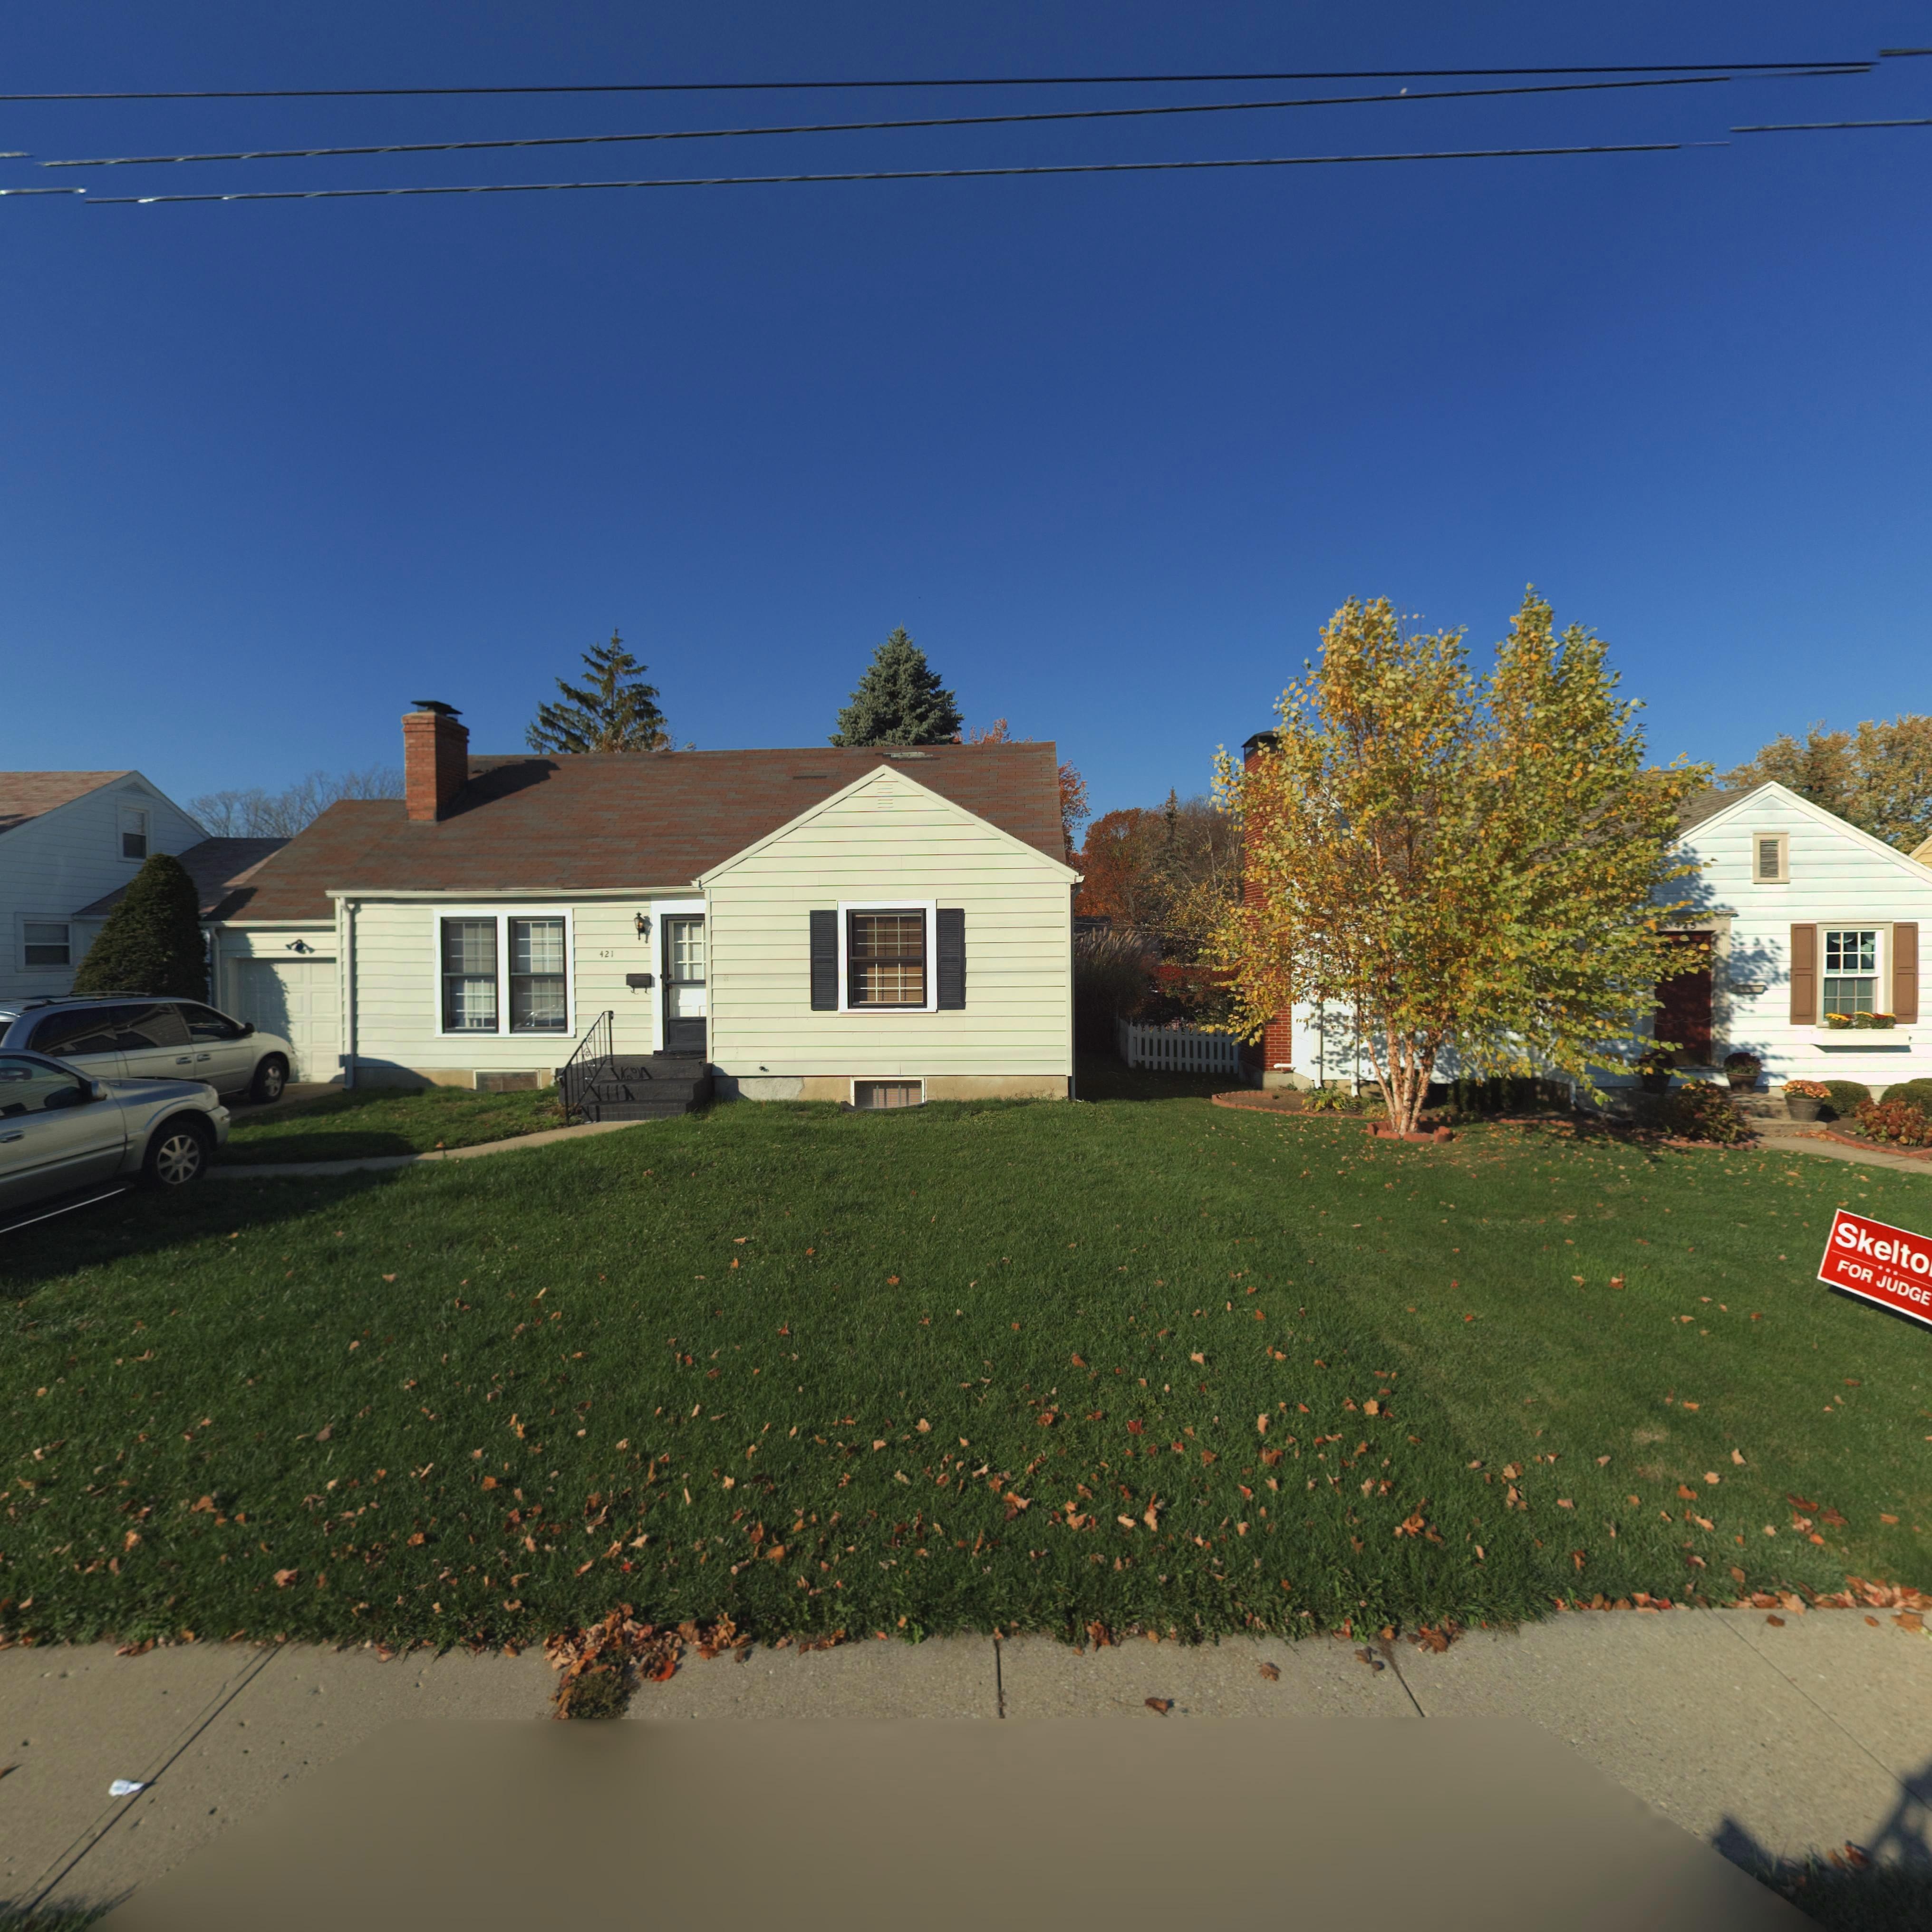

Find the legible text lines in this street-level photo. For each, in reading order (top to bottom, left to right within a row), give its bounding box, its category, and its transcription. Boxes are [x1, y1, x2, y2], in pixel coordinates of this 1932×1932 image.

[1673, 921, 1697, 929] StreetNumber: 4*5
[599, 950, 614, 958] StreetNumber: 421